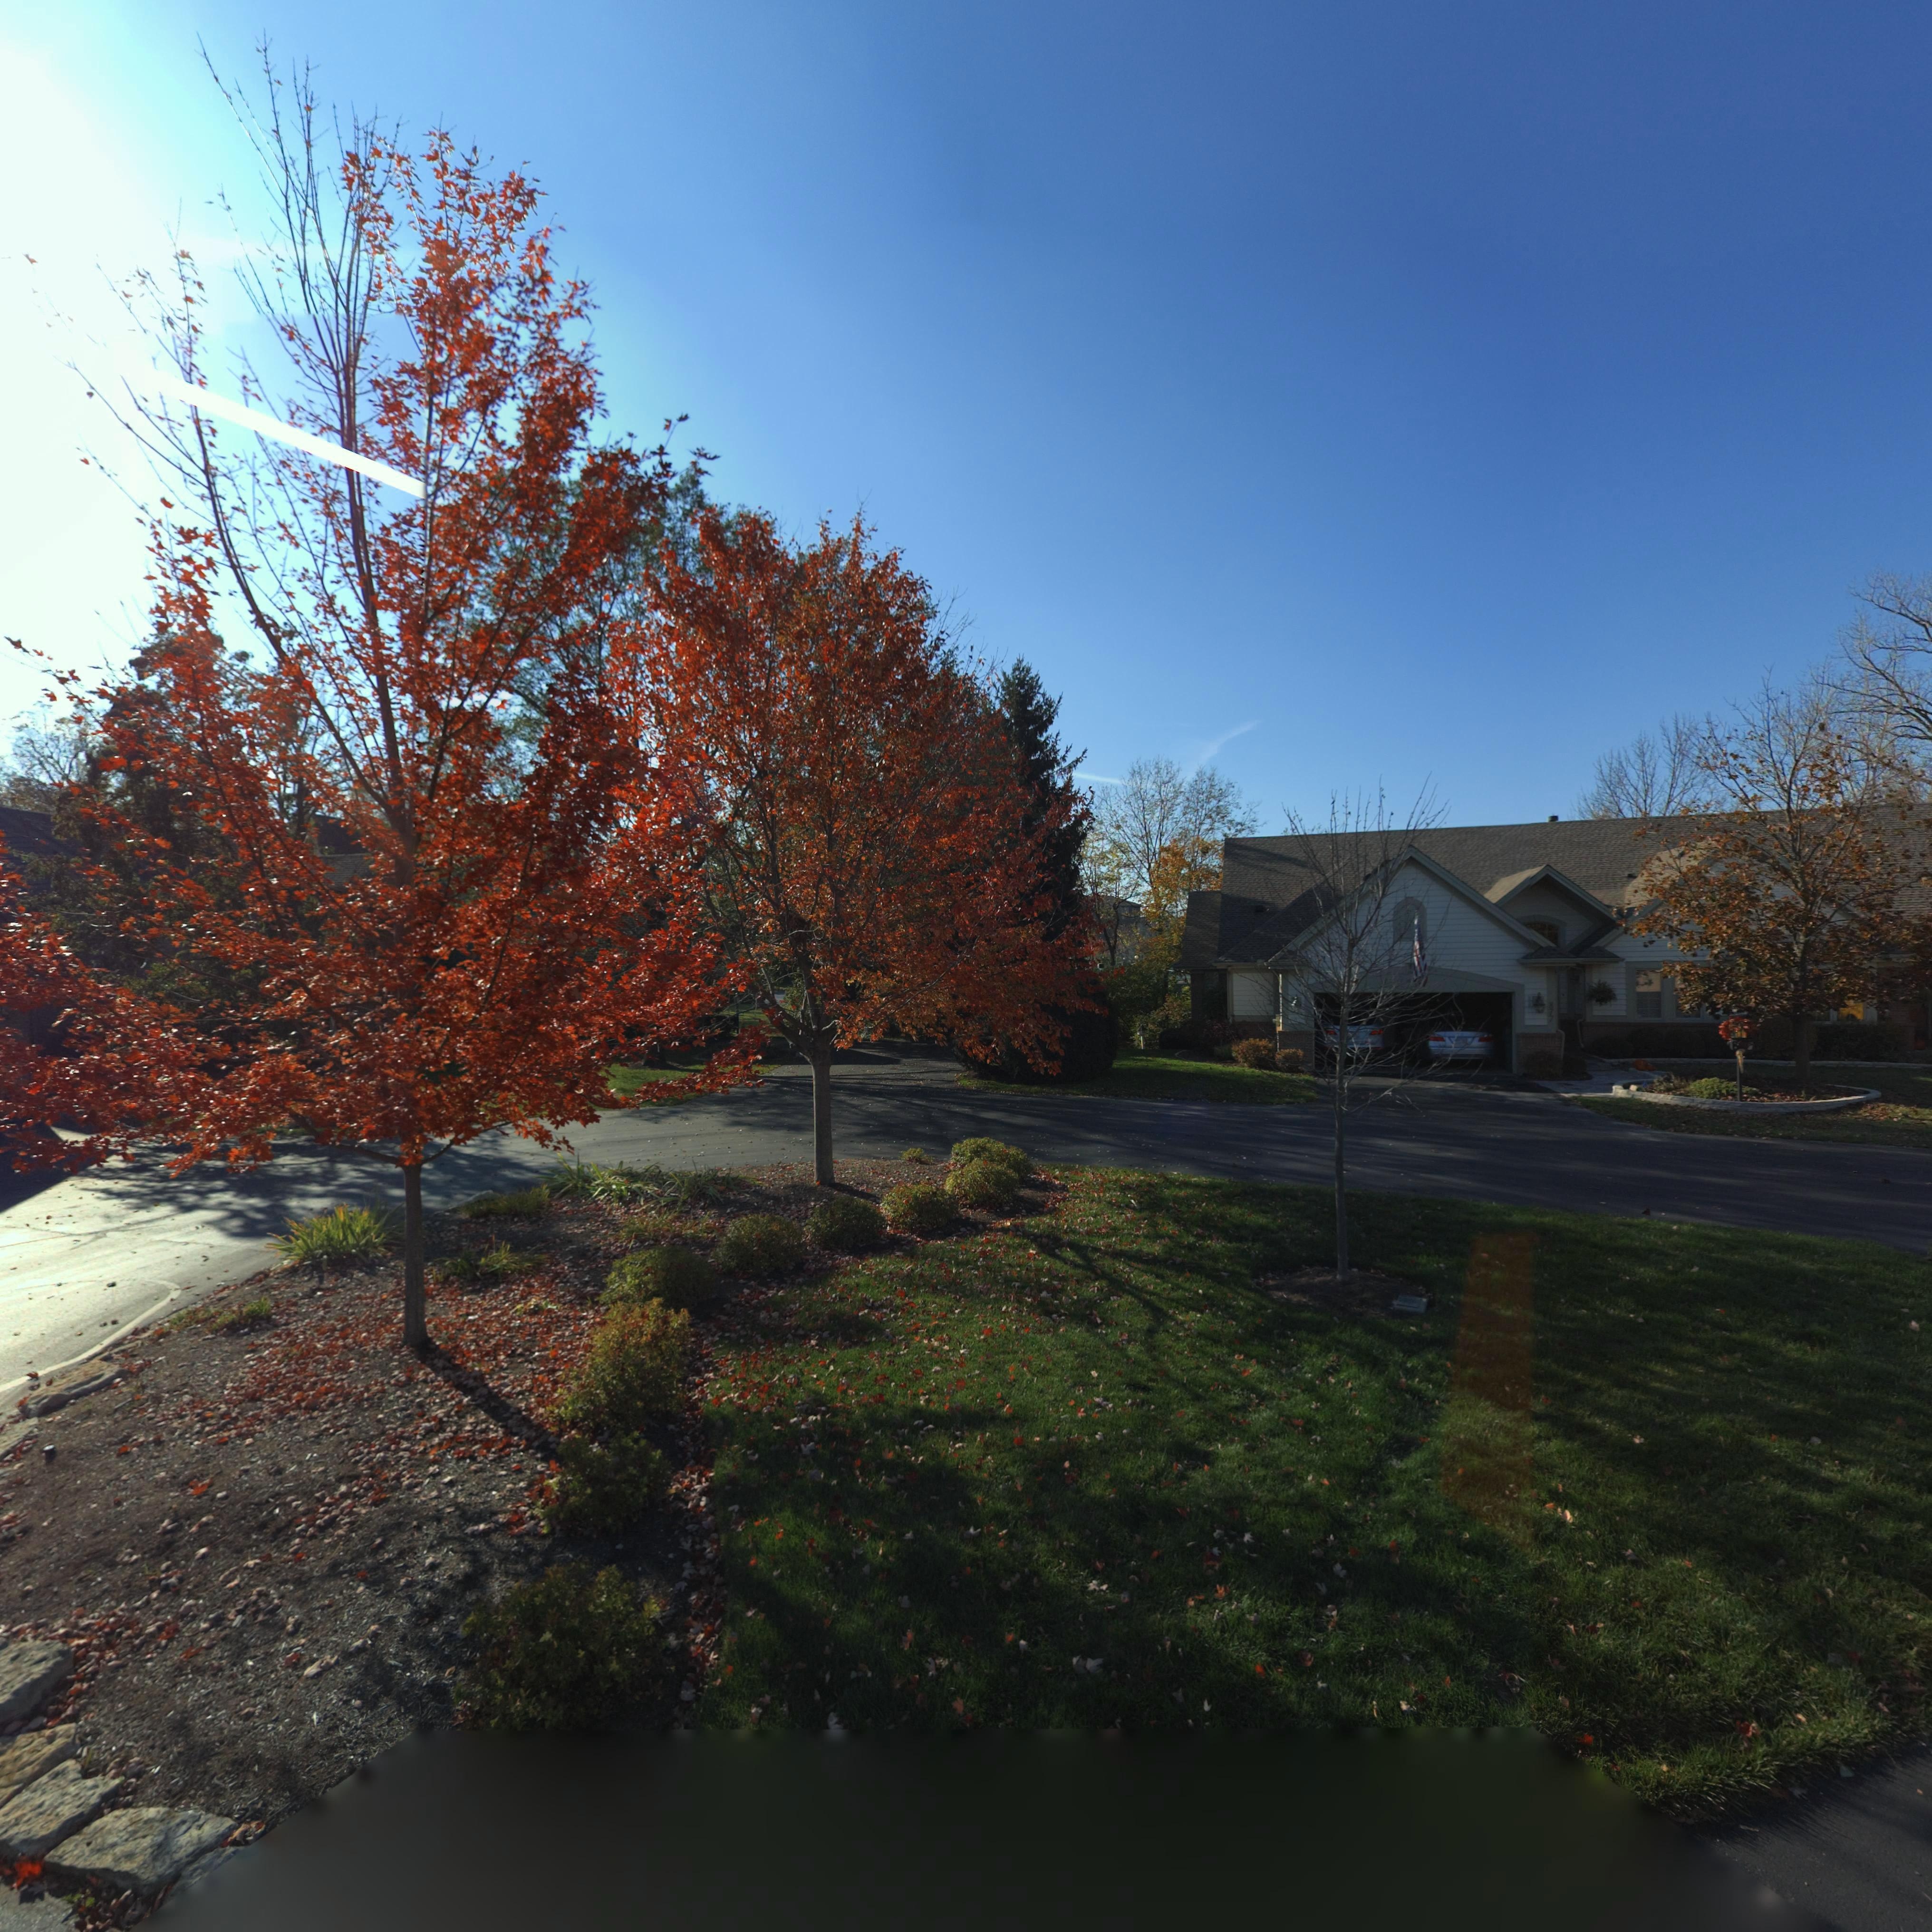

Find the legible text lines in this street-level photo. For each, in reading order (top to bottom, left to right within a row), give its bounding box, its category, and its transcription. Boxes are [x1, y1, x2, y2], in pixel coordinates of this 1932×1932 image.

[1547, 1001, 1555, 1024] StreetNumber: 877